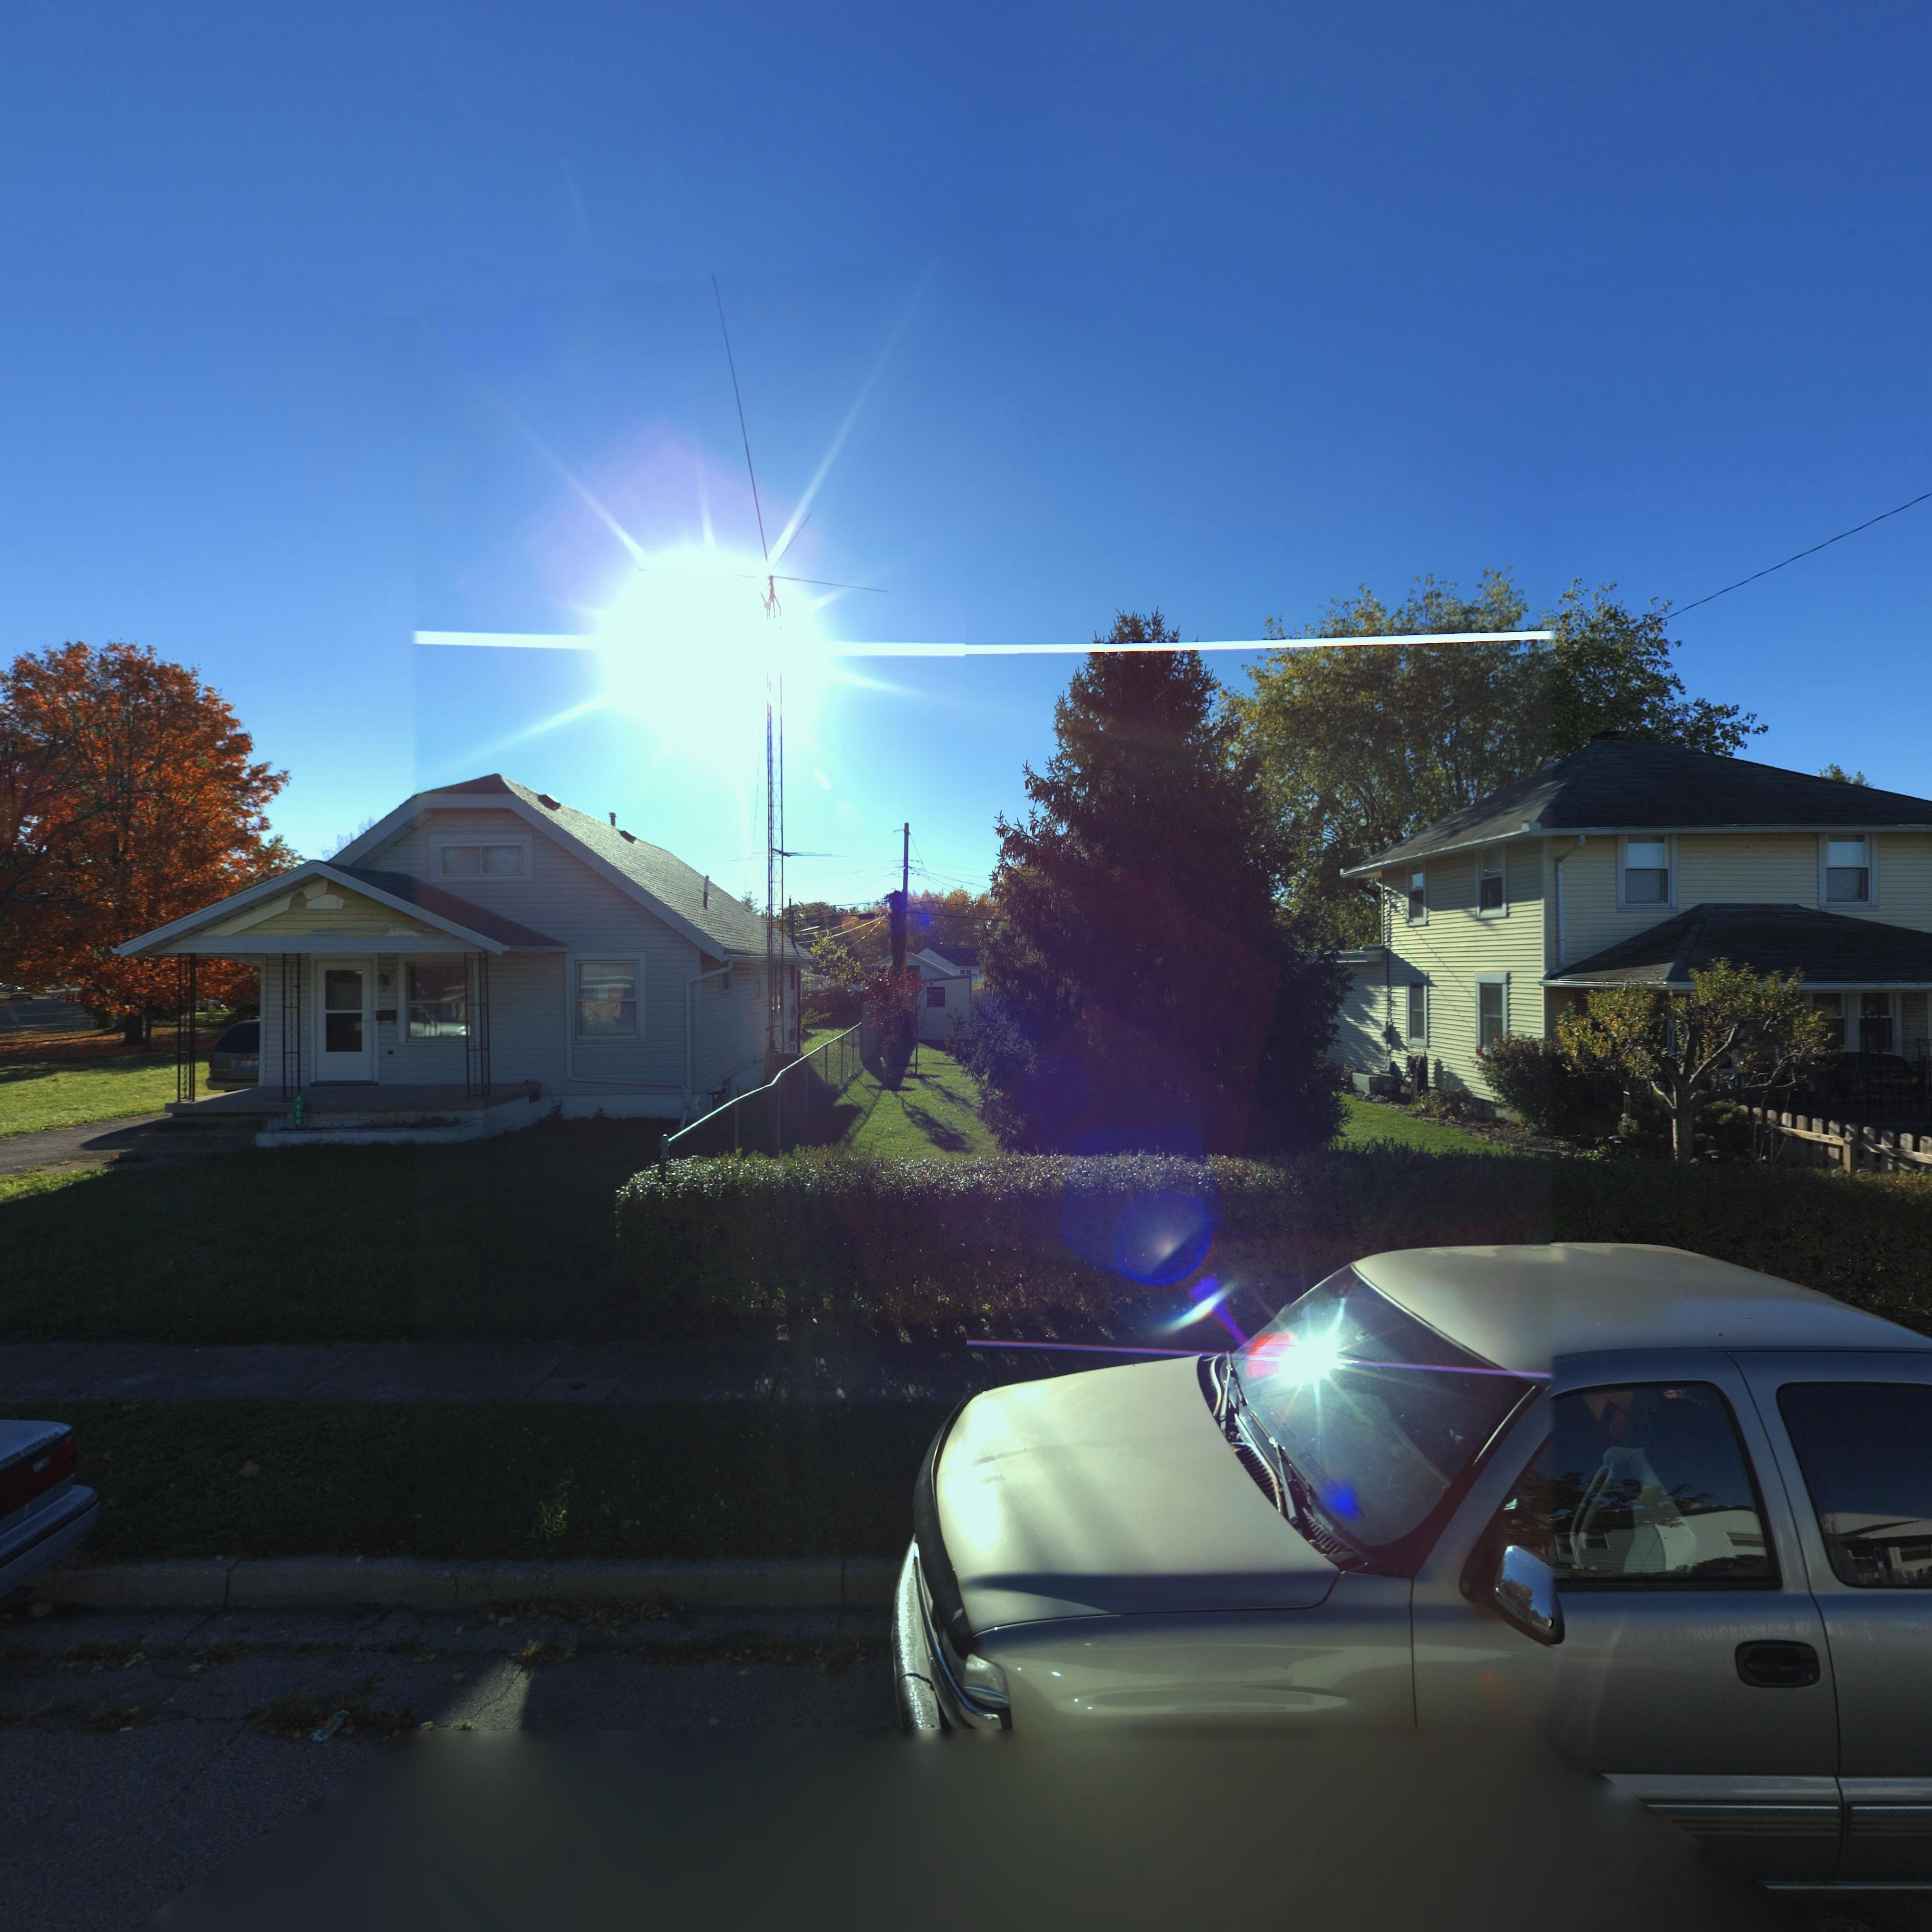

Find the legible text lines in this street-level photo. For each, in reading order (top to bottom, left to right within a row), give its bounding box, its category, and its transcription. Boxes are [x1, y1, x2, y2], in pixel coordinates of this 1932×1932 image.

[295, 1094, 302, 1126] StreetNumber: *60*